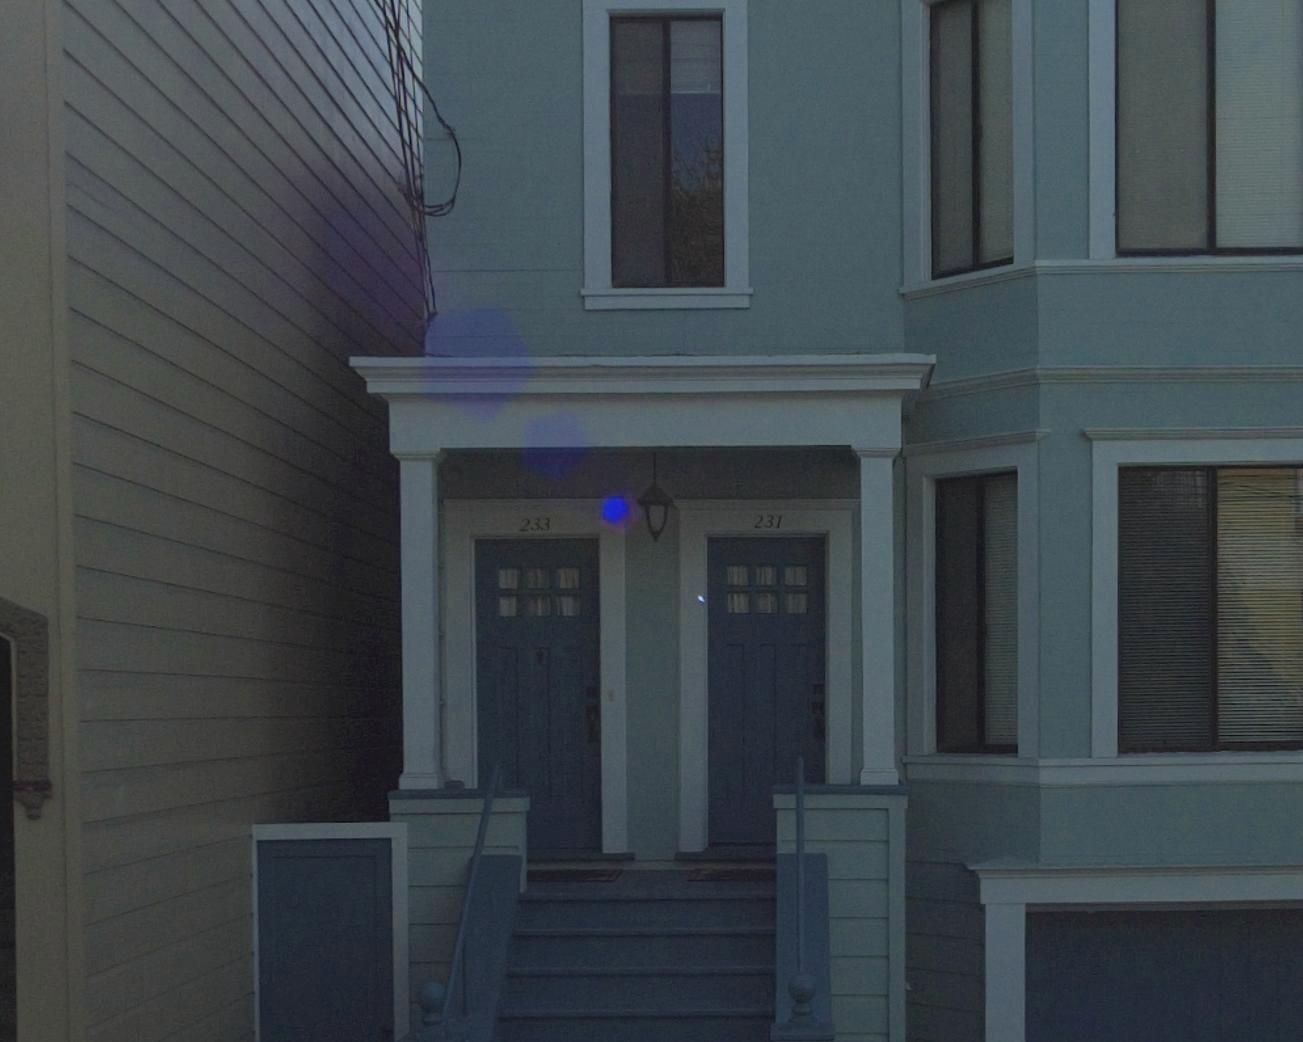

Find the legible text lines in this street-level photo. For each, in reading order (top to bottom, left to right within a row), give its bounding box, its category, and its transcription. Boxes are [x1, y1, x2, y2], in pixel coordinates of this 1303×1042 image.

[517, 516, 552, 533] StreetNumber: 233
[753, 513, 784, 529] StreetNumber: 231